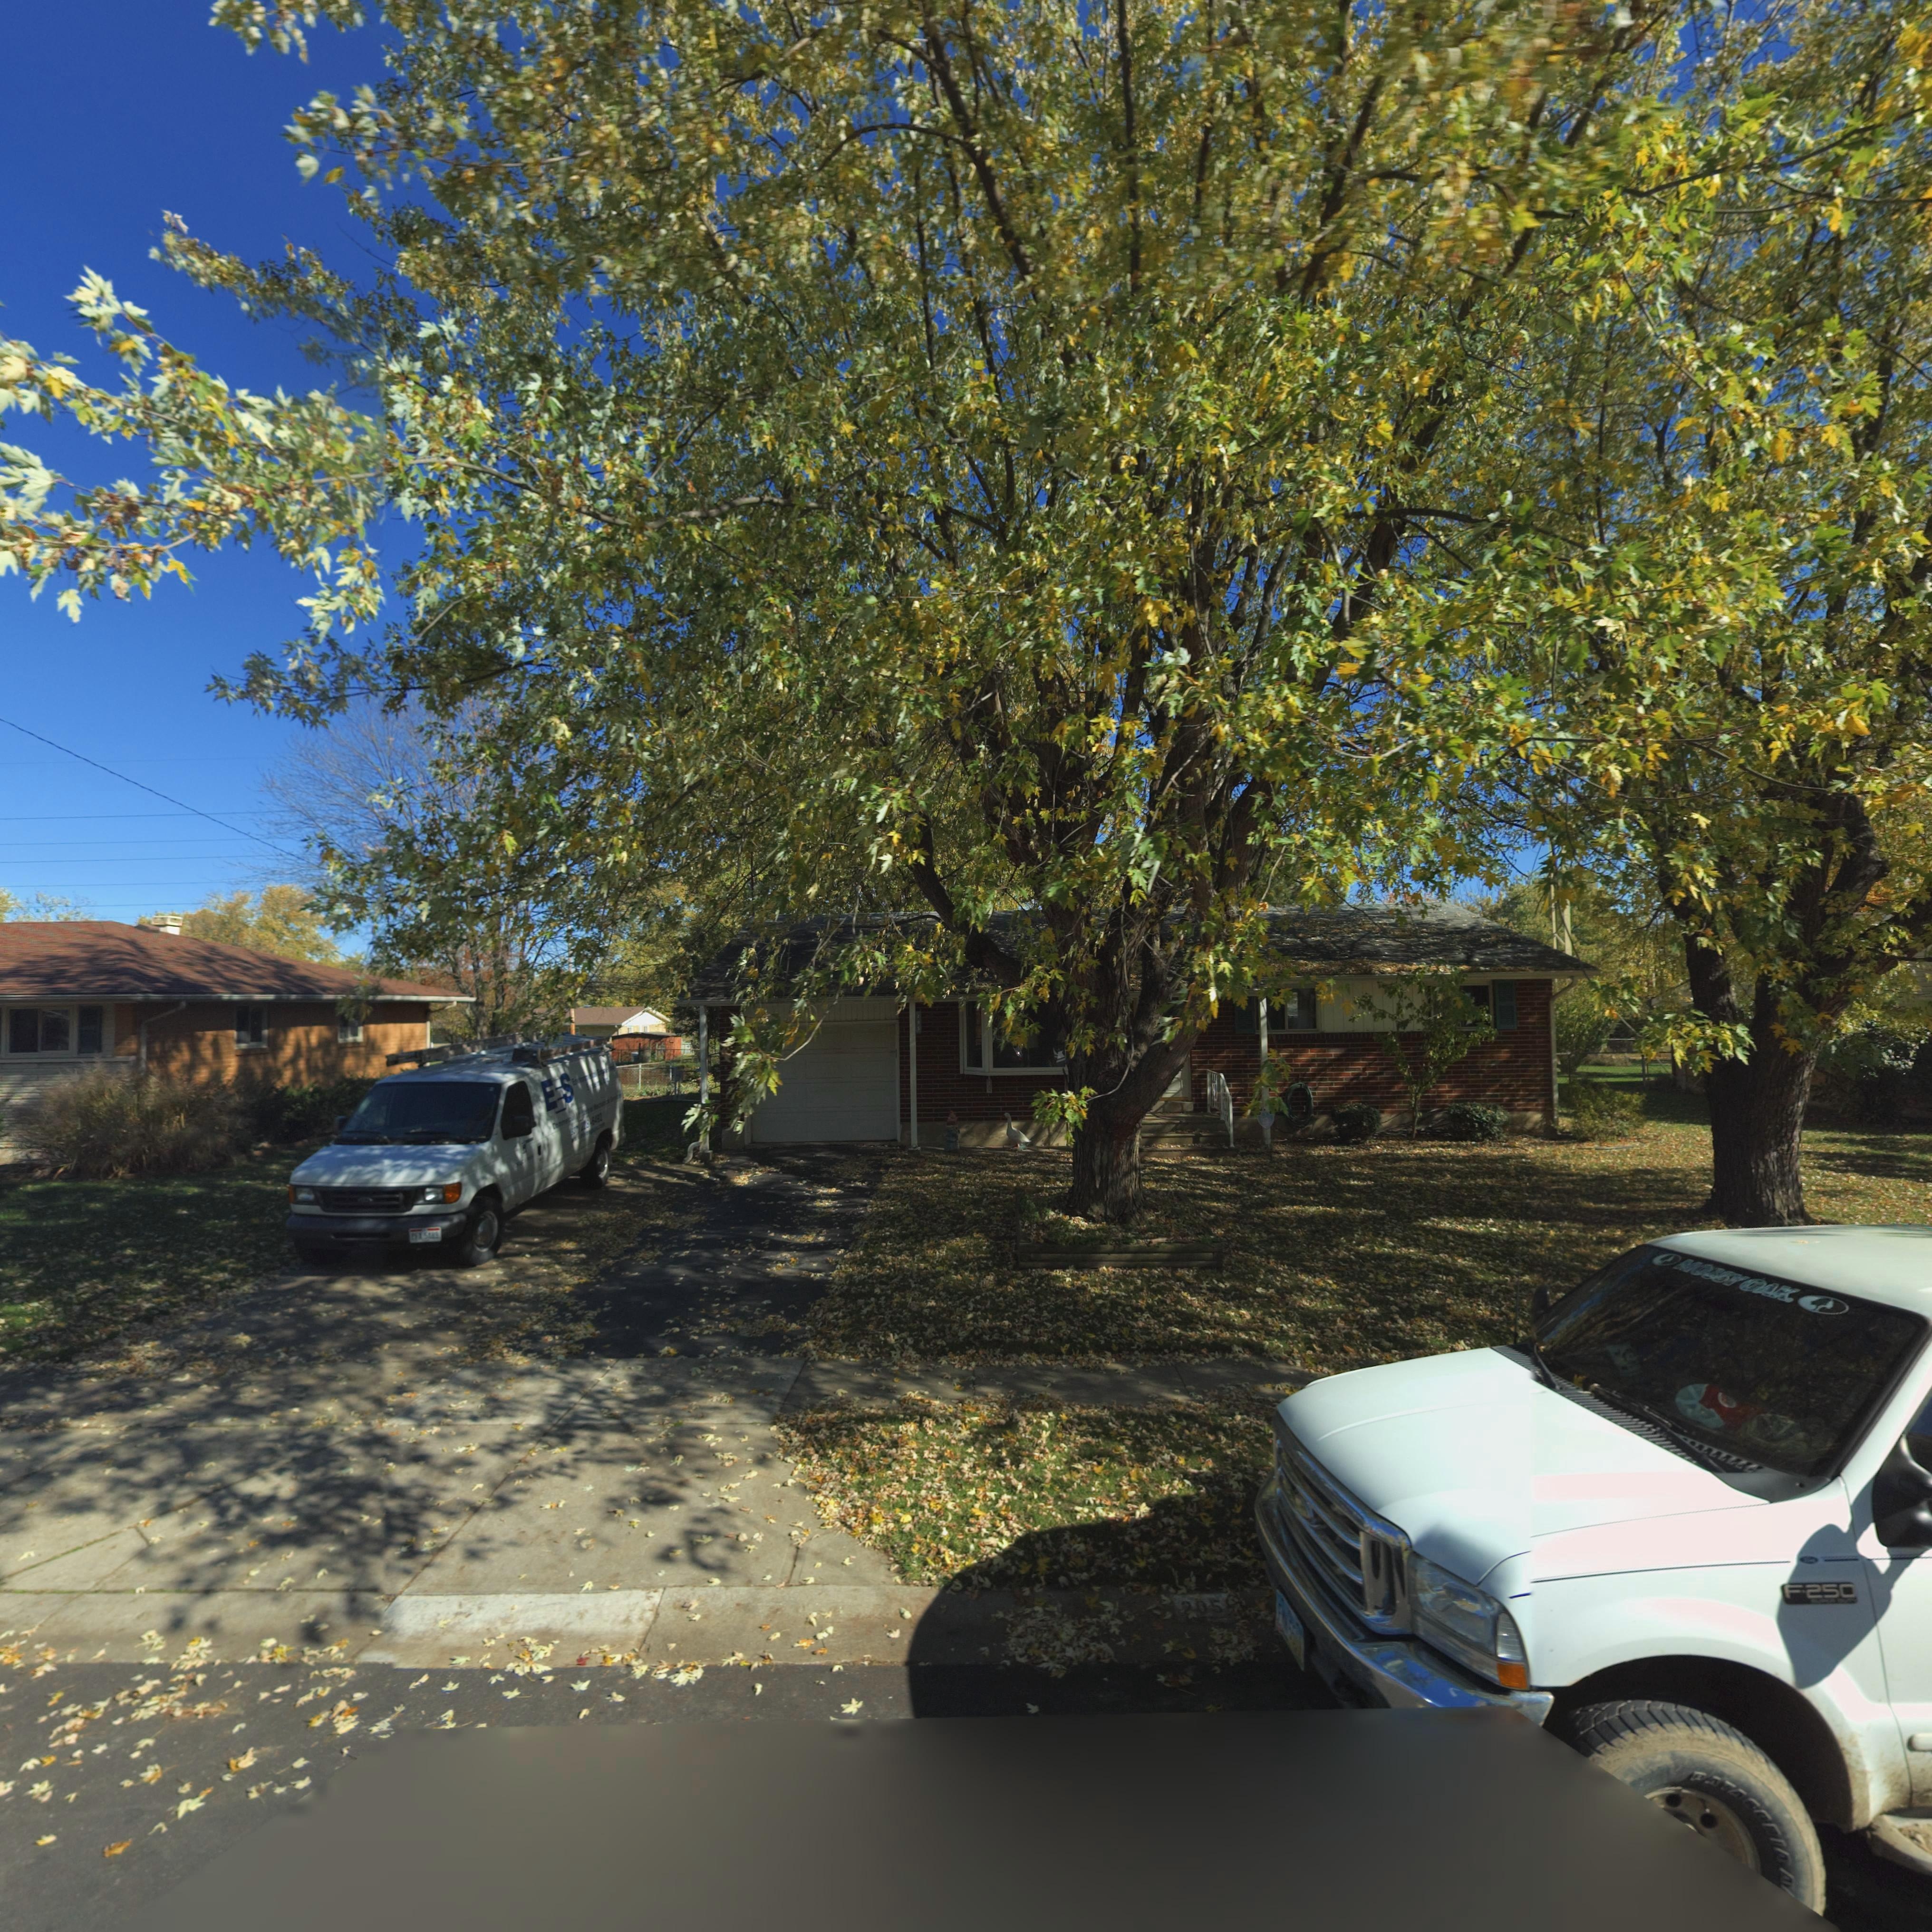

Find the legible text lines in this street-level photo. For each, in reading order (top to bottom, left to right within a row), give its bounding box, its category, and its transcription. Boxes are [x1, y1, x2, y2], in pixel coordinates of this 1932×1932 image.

[917, 1014, 921, 1030] StreetNumber: 205